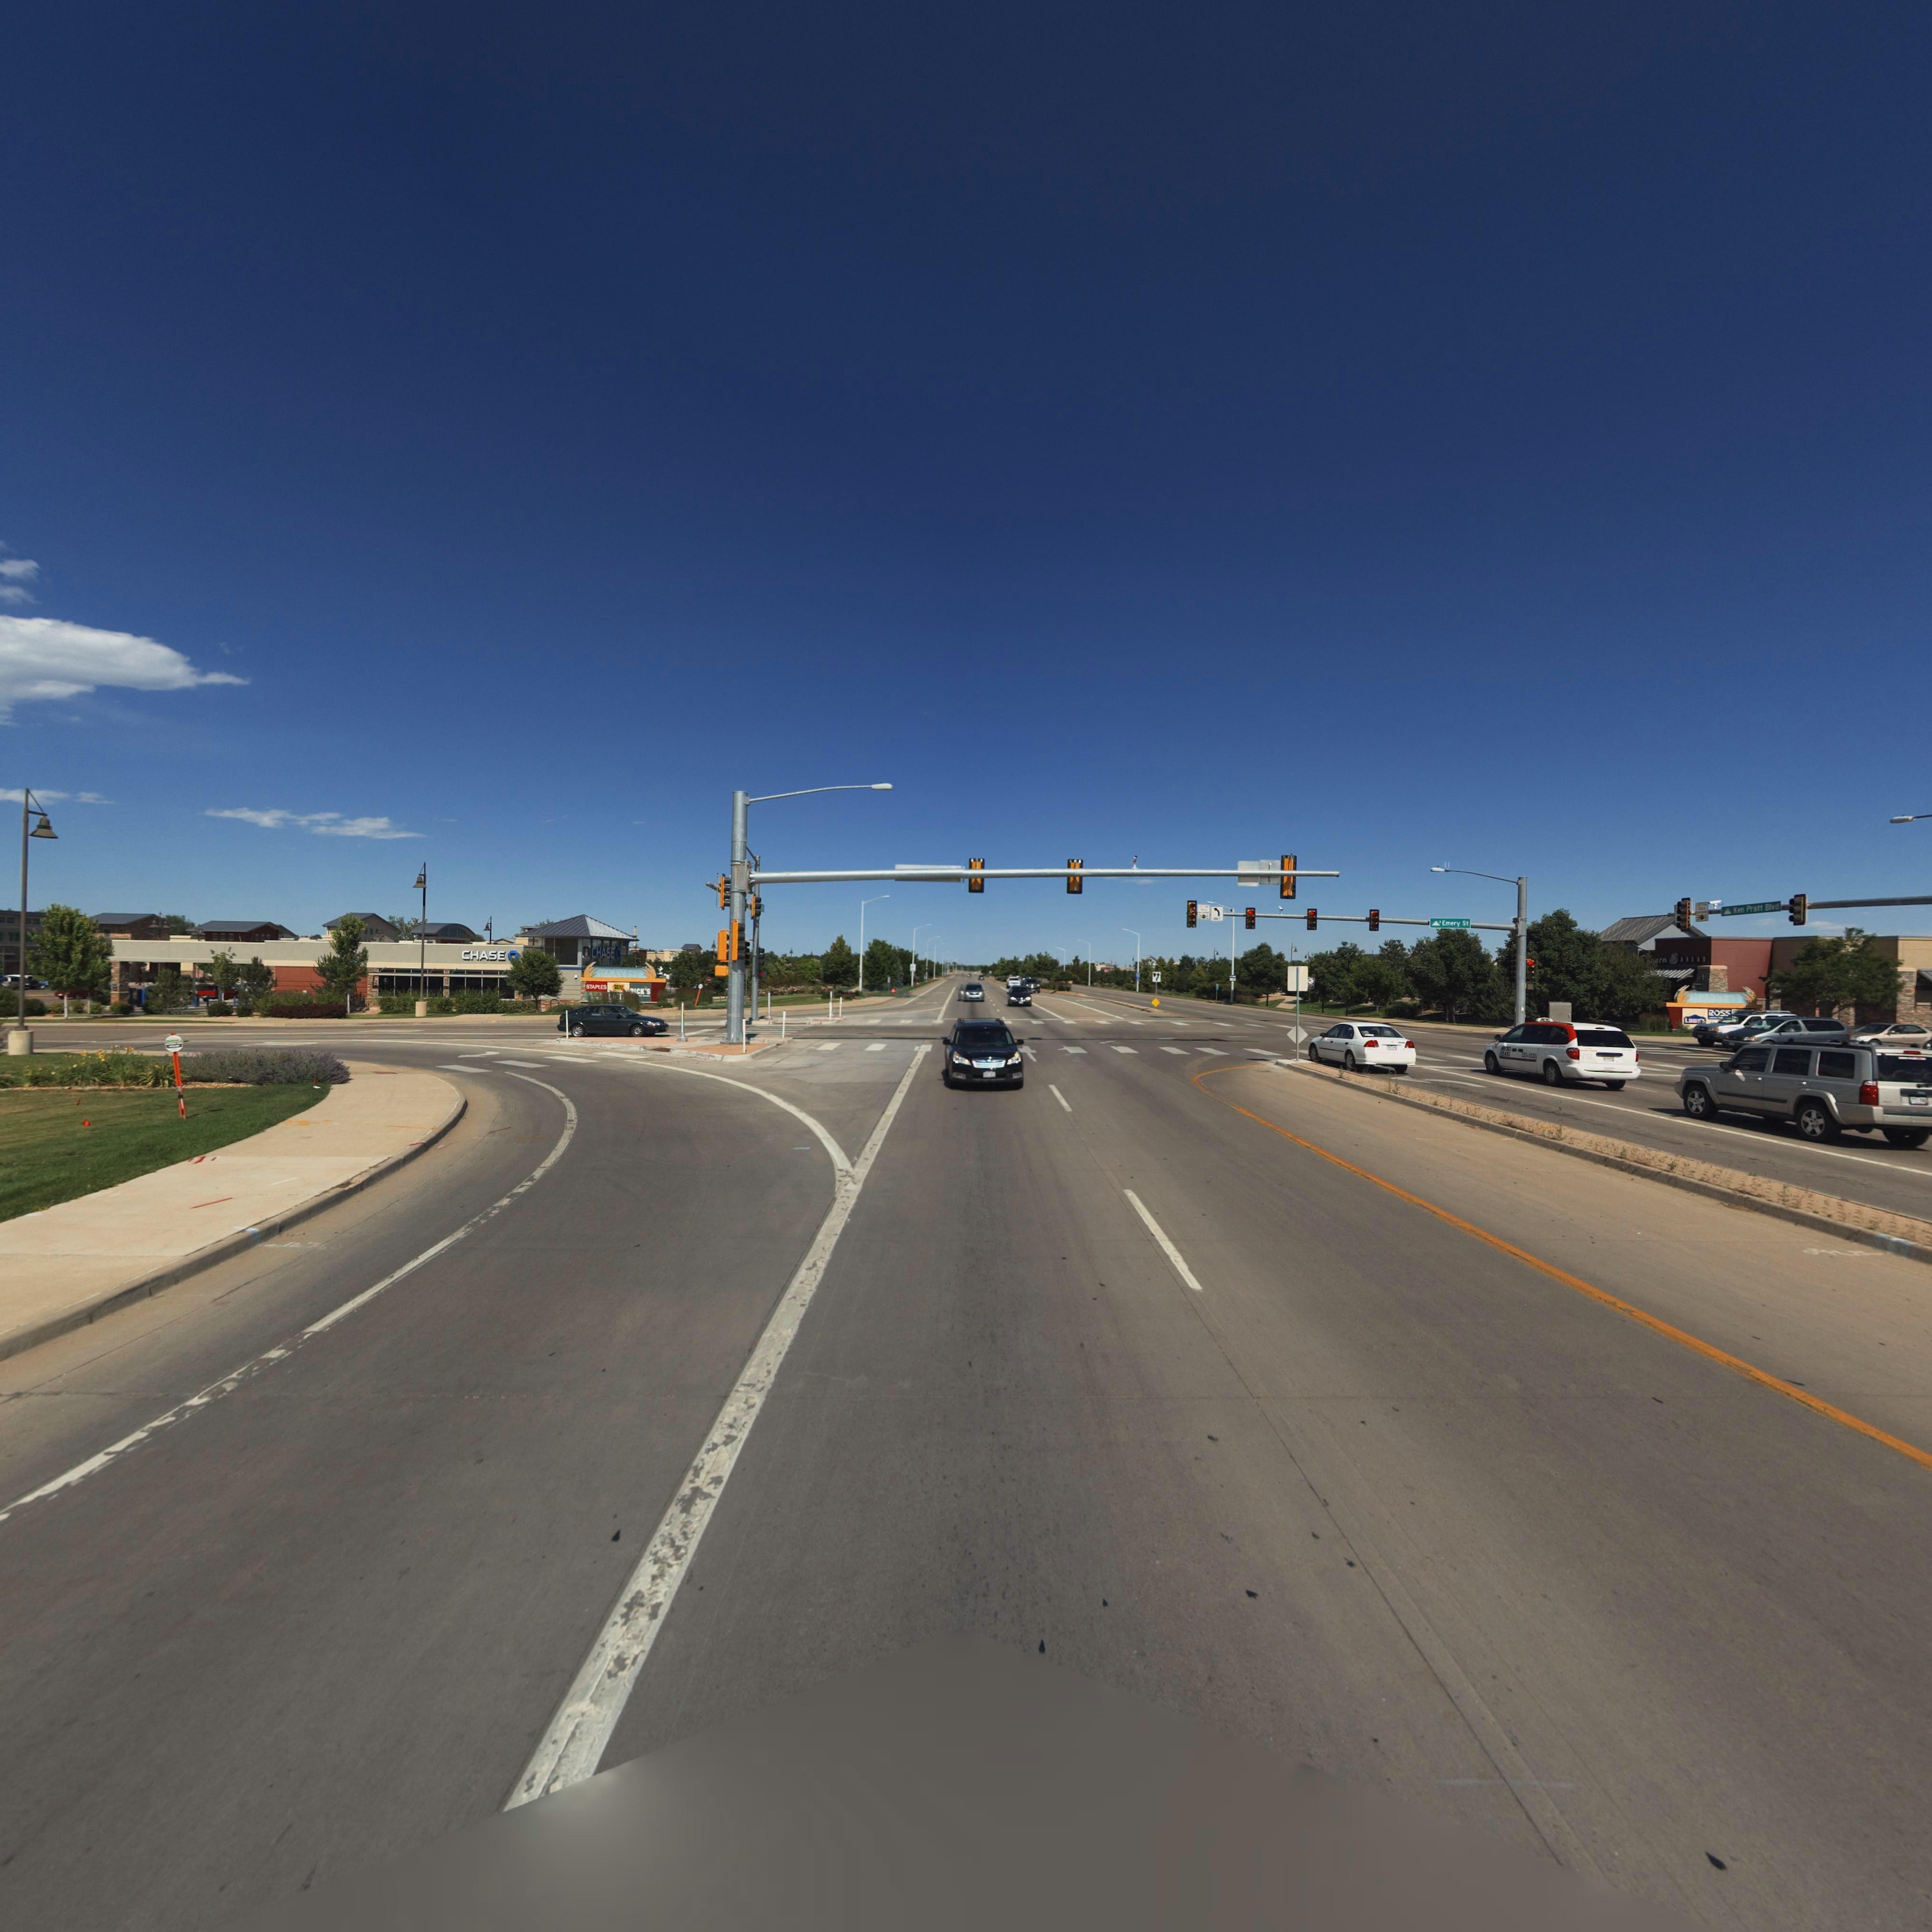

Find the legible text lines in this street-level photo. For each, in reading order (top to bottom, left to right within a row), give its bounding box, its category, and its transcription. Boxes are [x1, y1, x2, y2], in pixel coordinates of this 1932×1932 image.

[1733, 902, 1779, 914] StreetName: Ken Pratt Blvd
[1442, 920, 1469, 927] StreetName: Emery St
[461, 950, 505, 959] BusinessName: CHASE
[591, 947, 615, 958] BusinessName: CHASE
[1654, 957, 1667, 963] BusinessName: era
[1680, 956, 1706, 962] BusinessName: BREAD
[586, 984, 607, 989] BusinessName: STAPLES
[636, 988, 651, 995] BusinessName: CK'S
[1708, 1009, 1731, 1016] BusinessName: ROSS
[1684, 1017, 1705, 1024] BusinessName: LO**S